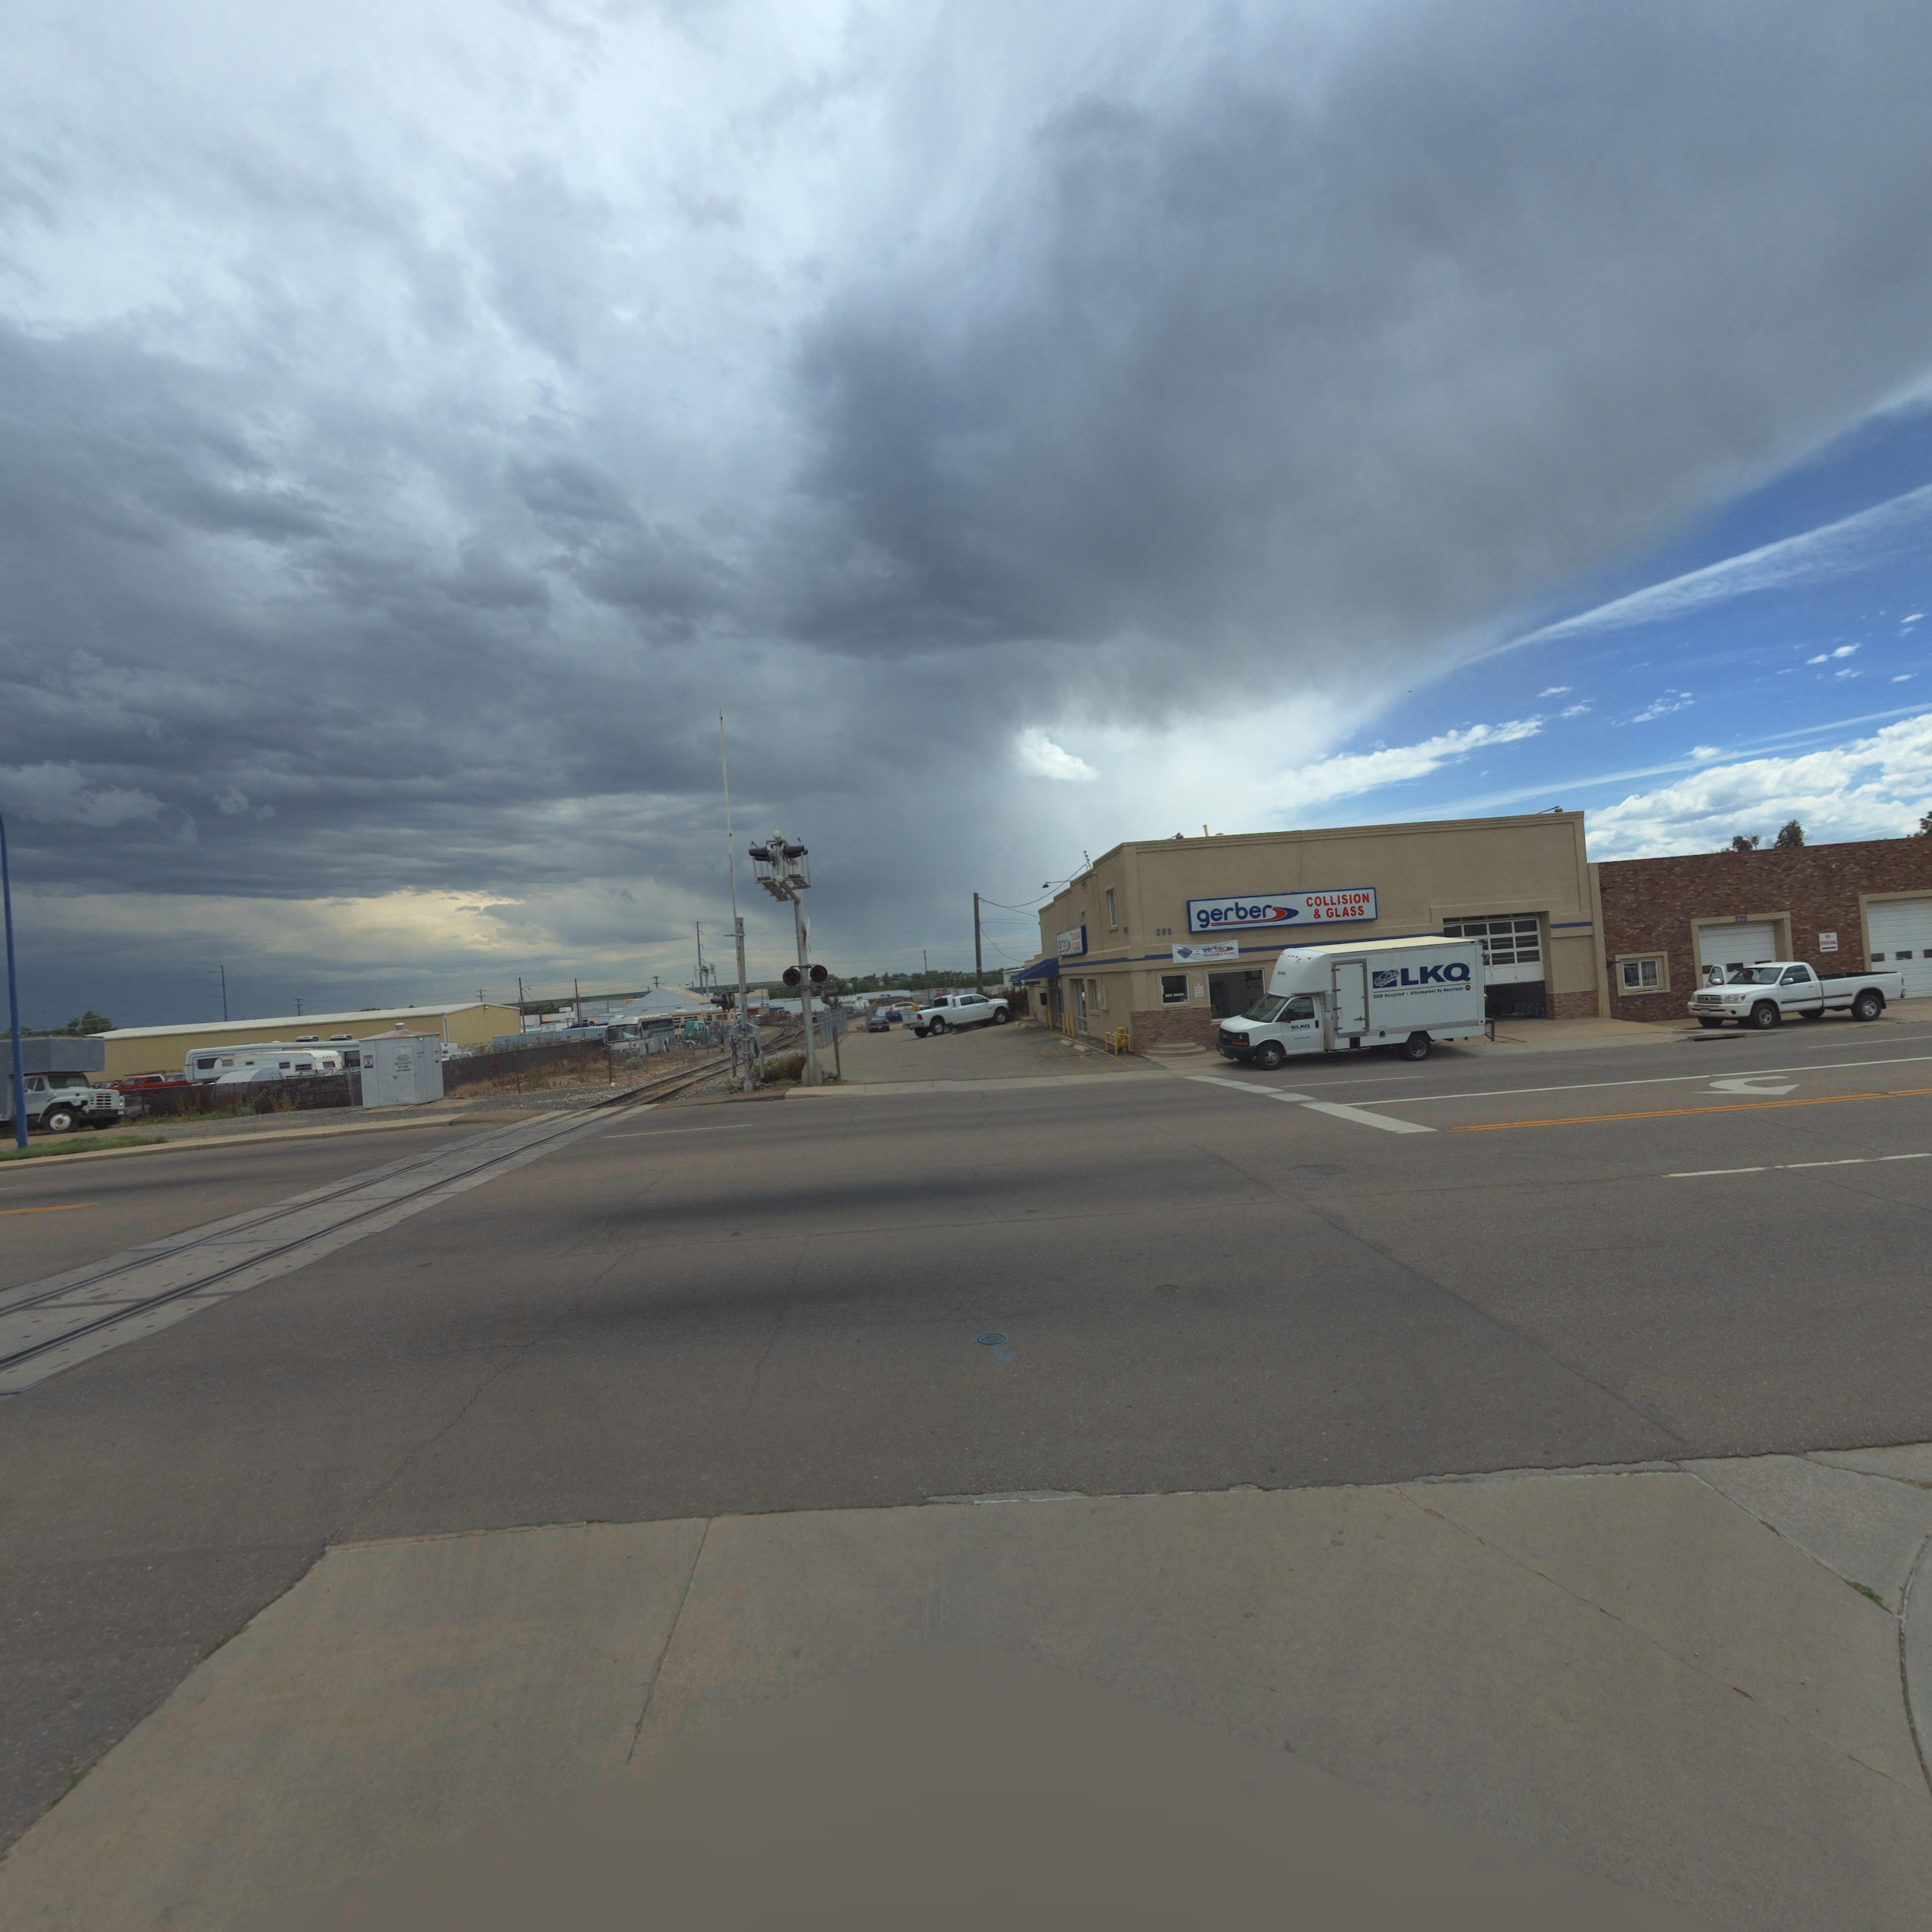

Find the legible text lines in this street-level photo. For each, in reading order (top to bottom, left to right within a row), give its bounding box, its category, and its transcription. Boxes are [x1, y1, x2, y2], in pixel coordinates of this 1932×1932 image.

[1305, 892, 1370, 907] BusinessName: COLLISION
[1196, 901, 1273, 928] BusinessName: gerber
[1313, 905, 1364, 919] StreetName: * GLASS
[1735, 914, 1747, 922] StreetNumber: 225
[1202, 945, 1227, 954] BusinessName: gerber
[1203, 951, 1235, 957] BusinessName: COLLISION * GLASS